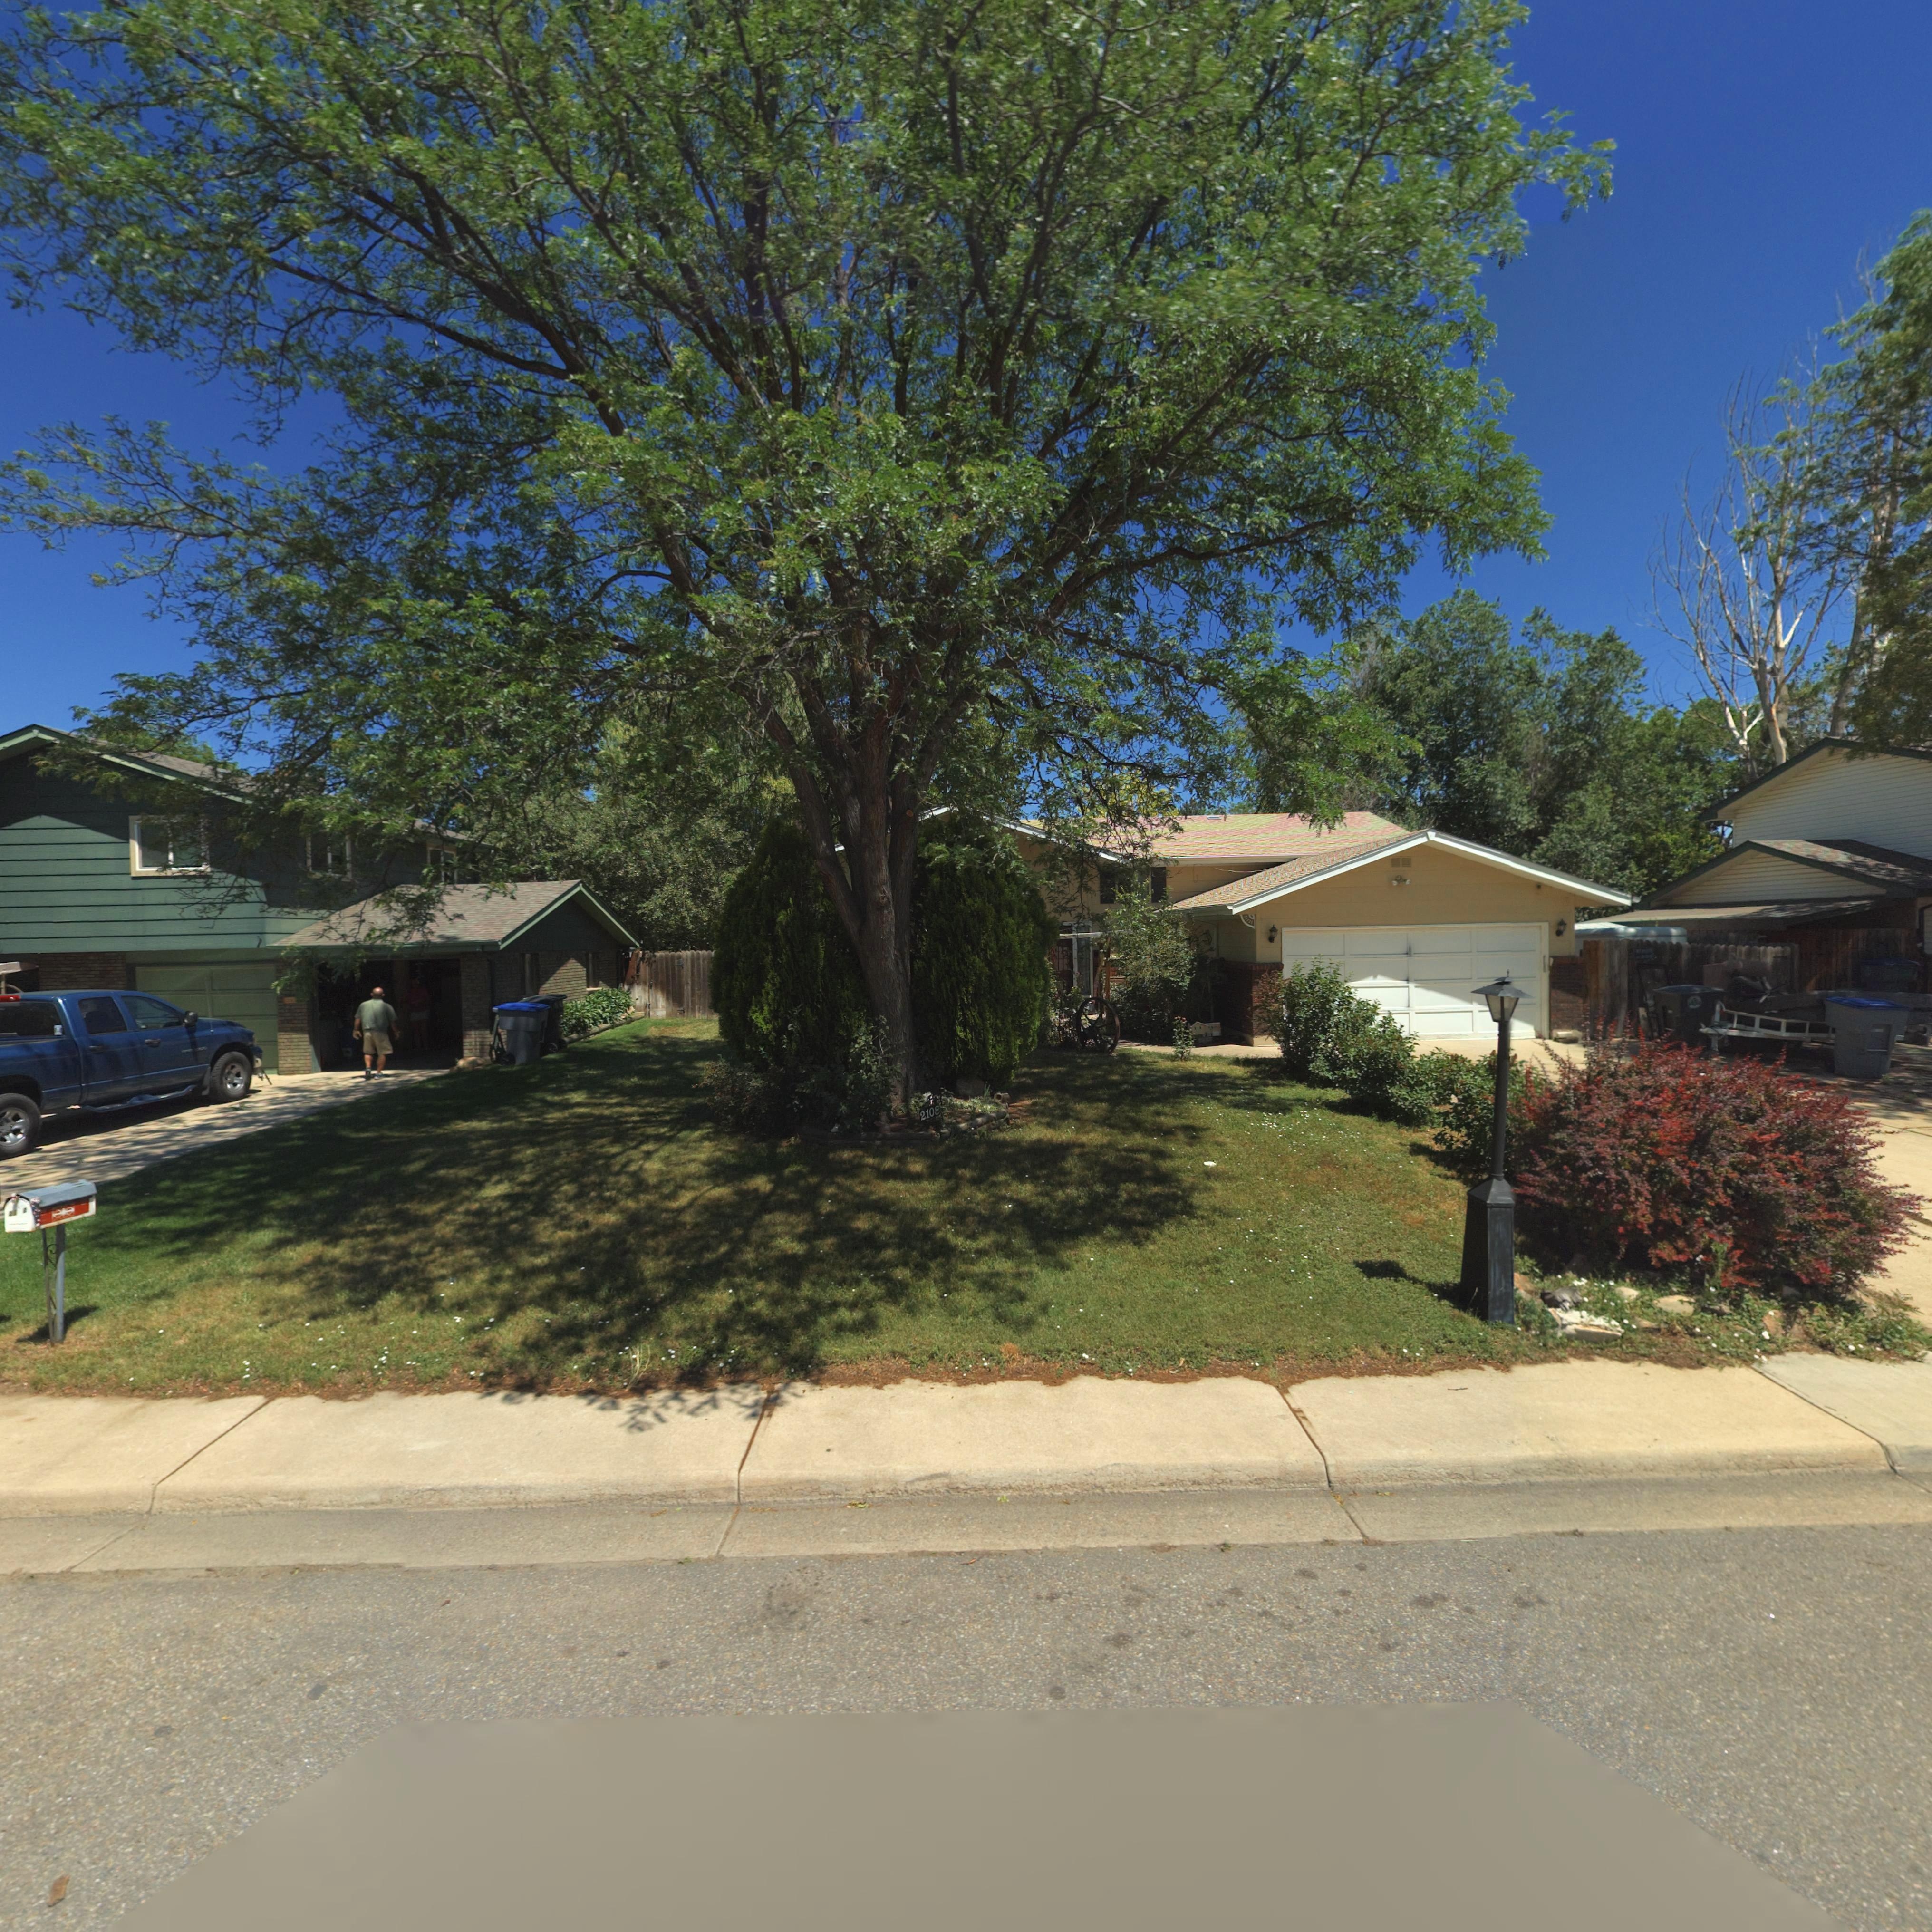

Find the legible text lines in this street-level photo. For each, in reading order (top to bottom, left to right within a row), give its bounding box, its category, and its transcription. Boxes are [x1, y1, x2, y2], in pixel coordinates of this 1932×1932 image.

[919, 1106, 940, 1121] StreetNumber: 2108